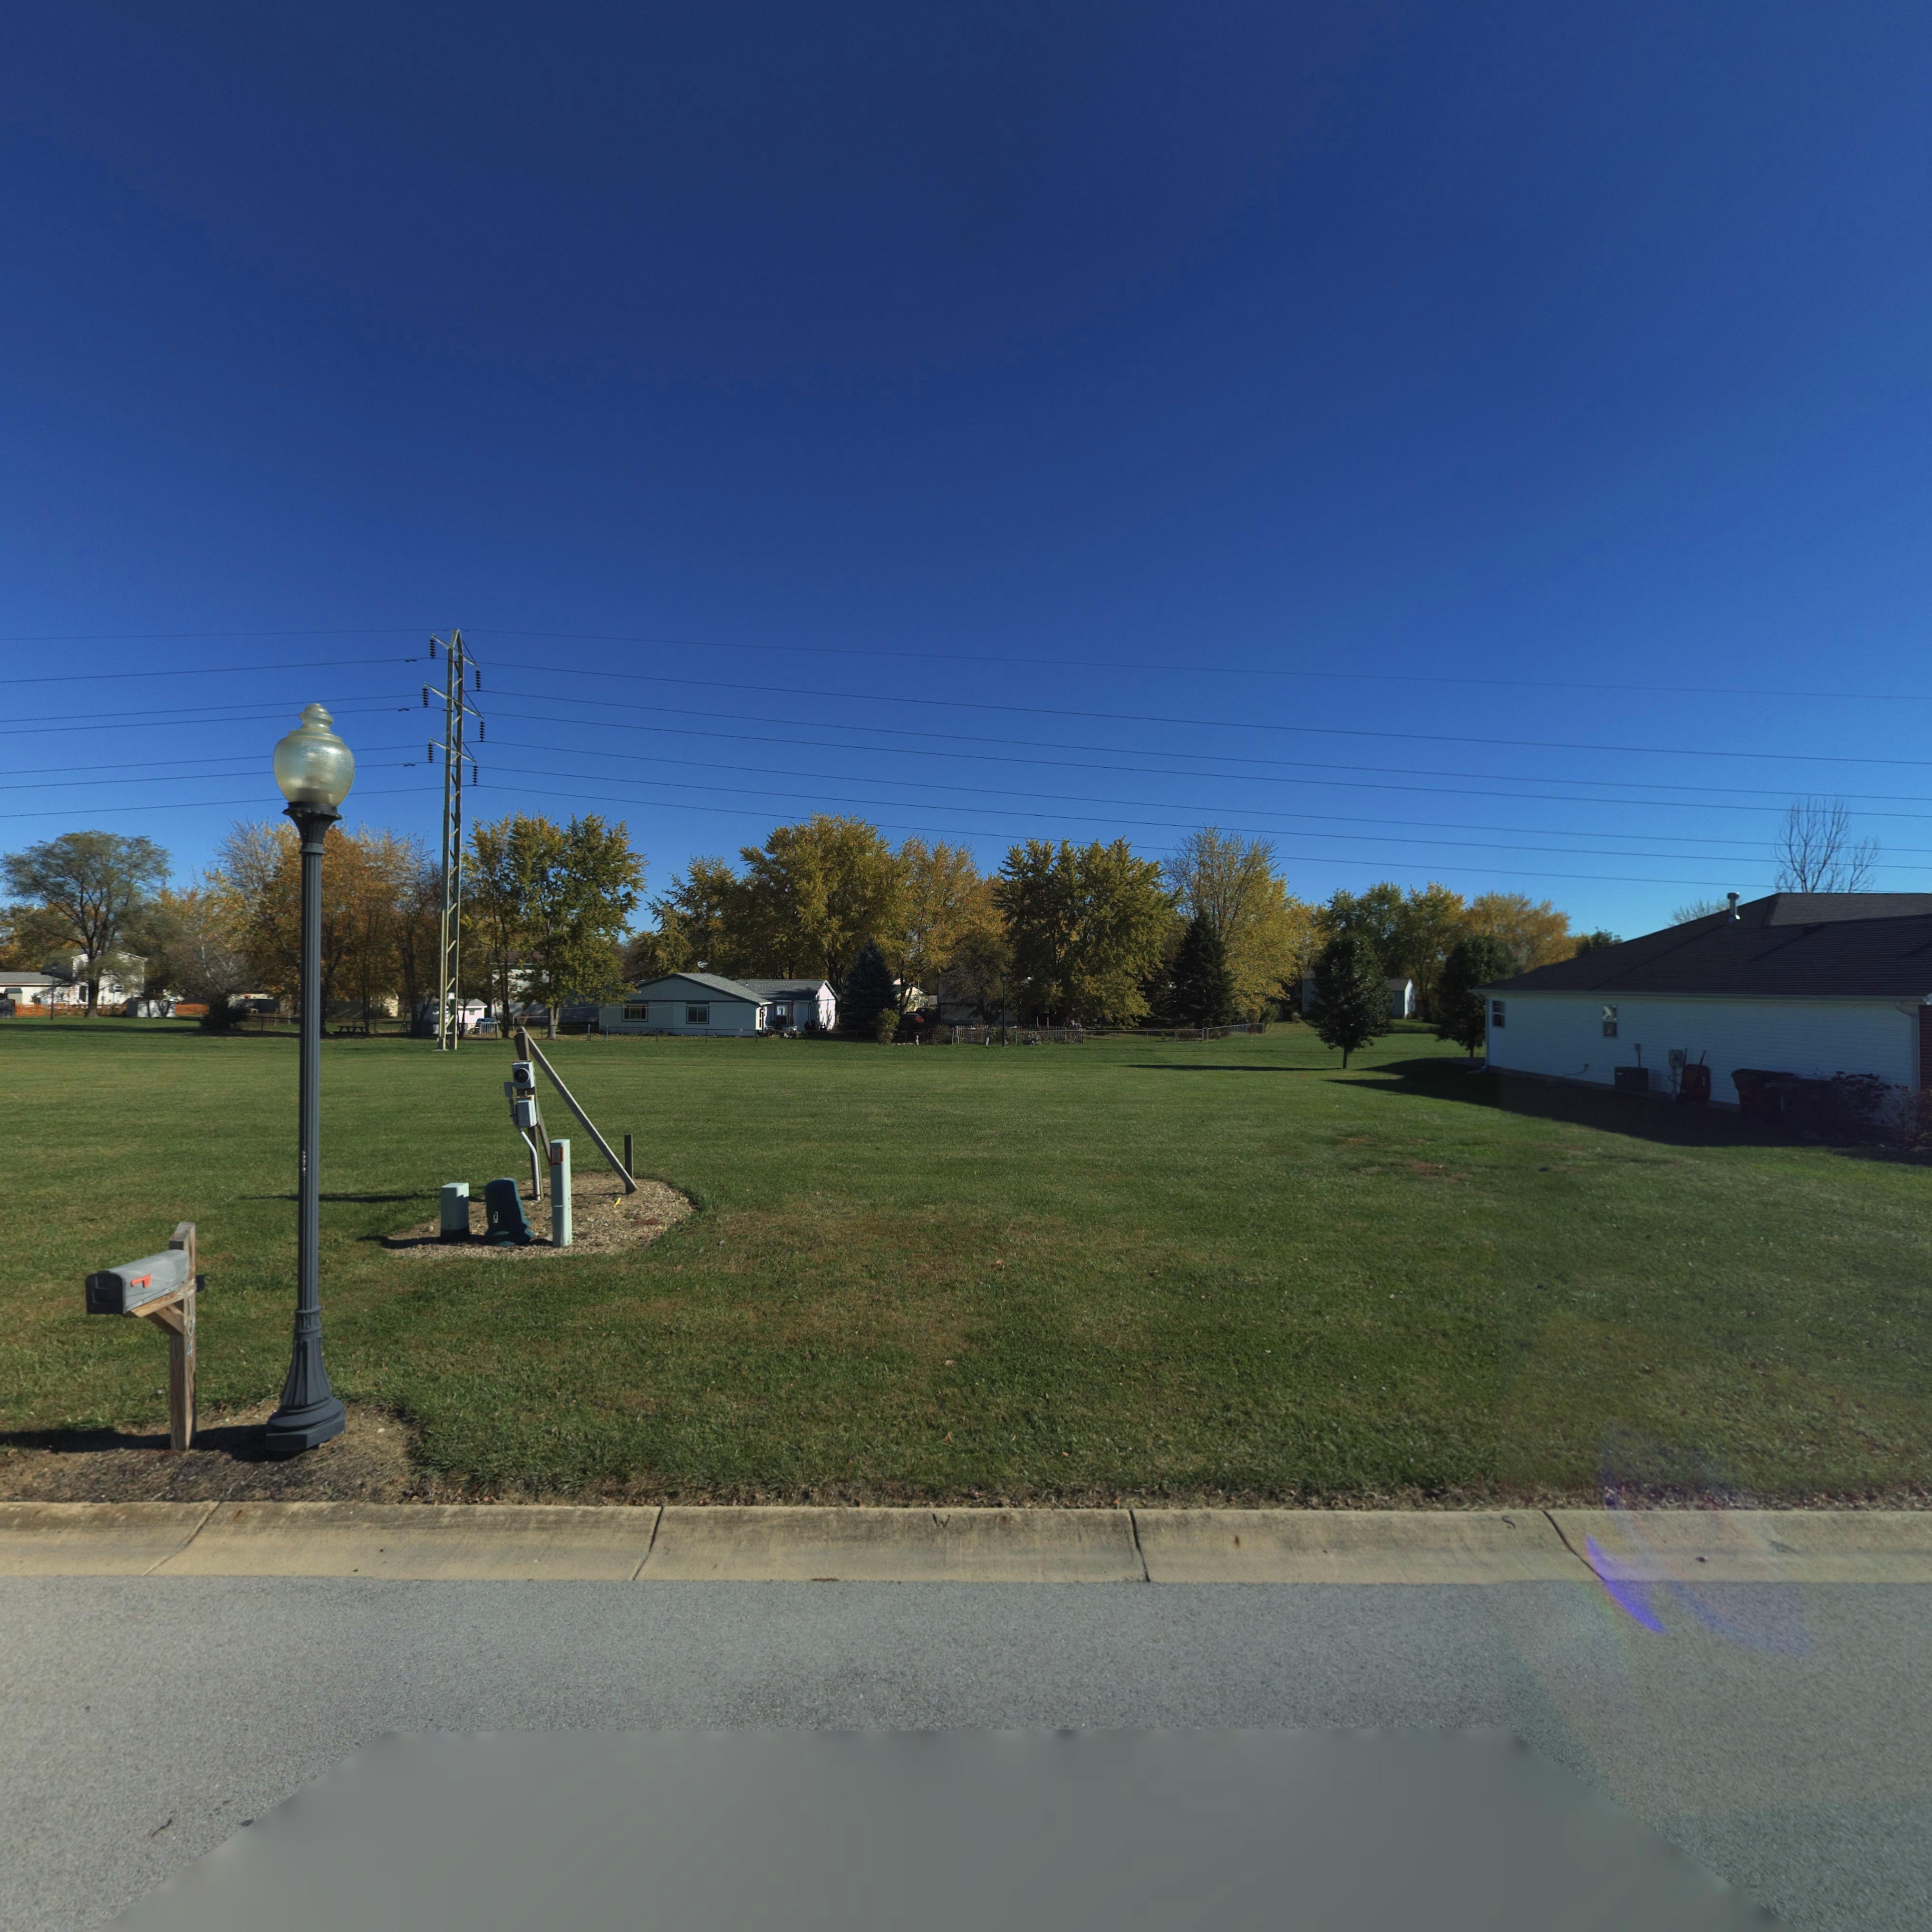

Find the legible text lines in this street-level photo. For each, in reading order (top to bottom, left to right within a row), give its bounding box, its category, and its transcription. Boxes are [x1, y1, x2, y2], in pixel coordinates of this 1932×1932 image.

[184, 1297, 196, 1360] StreetNumber: 104